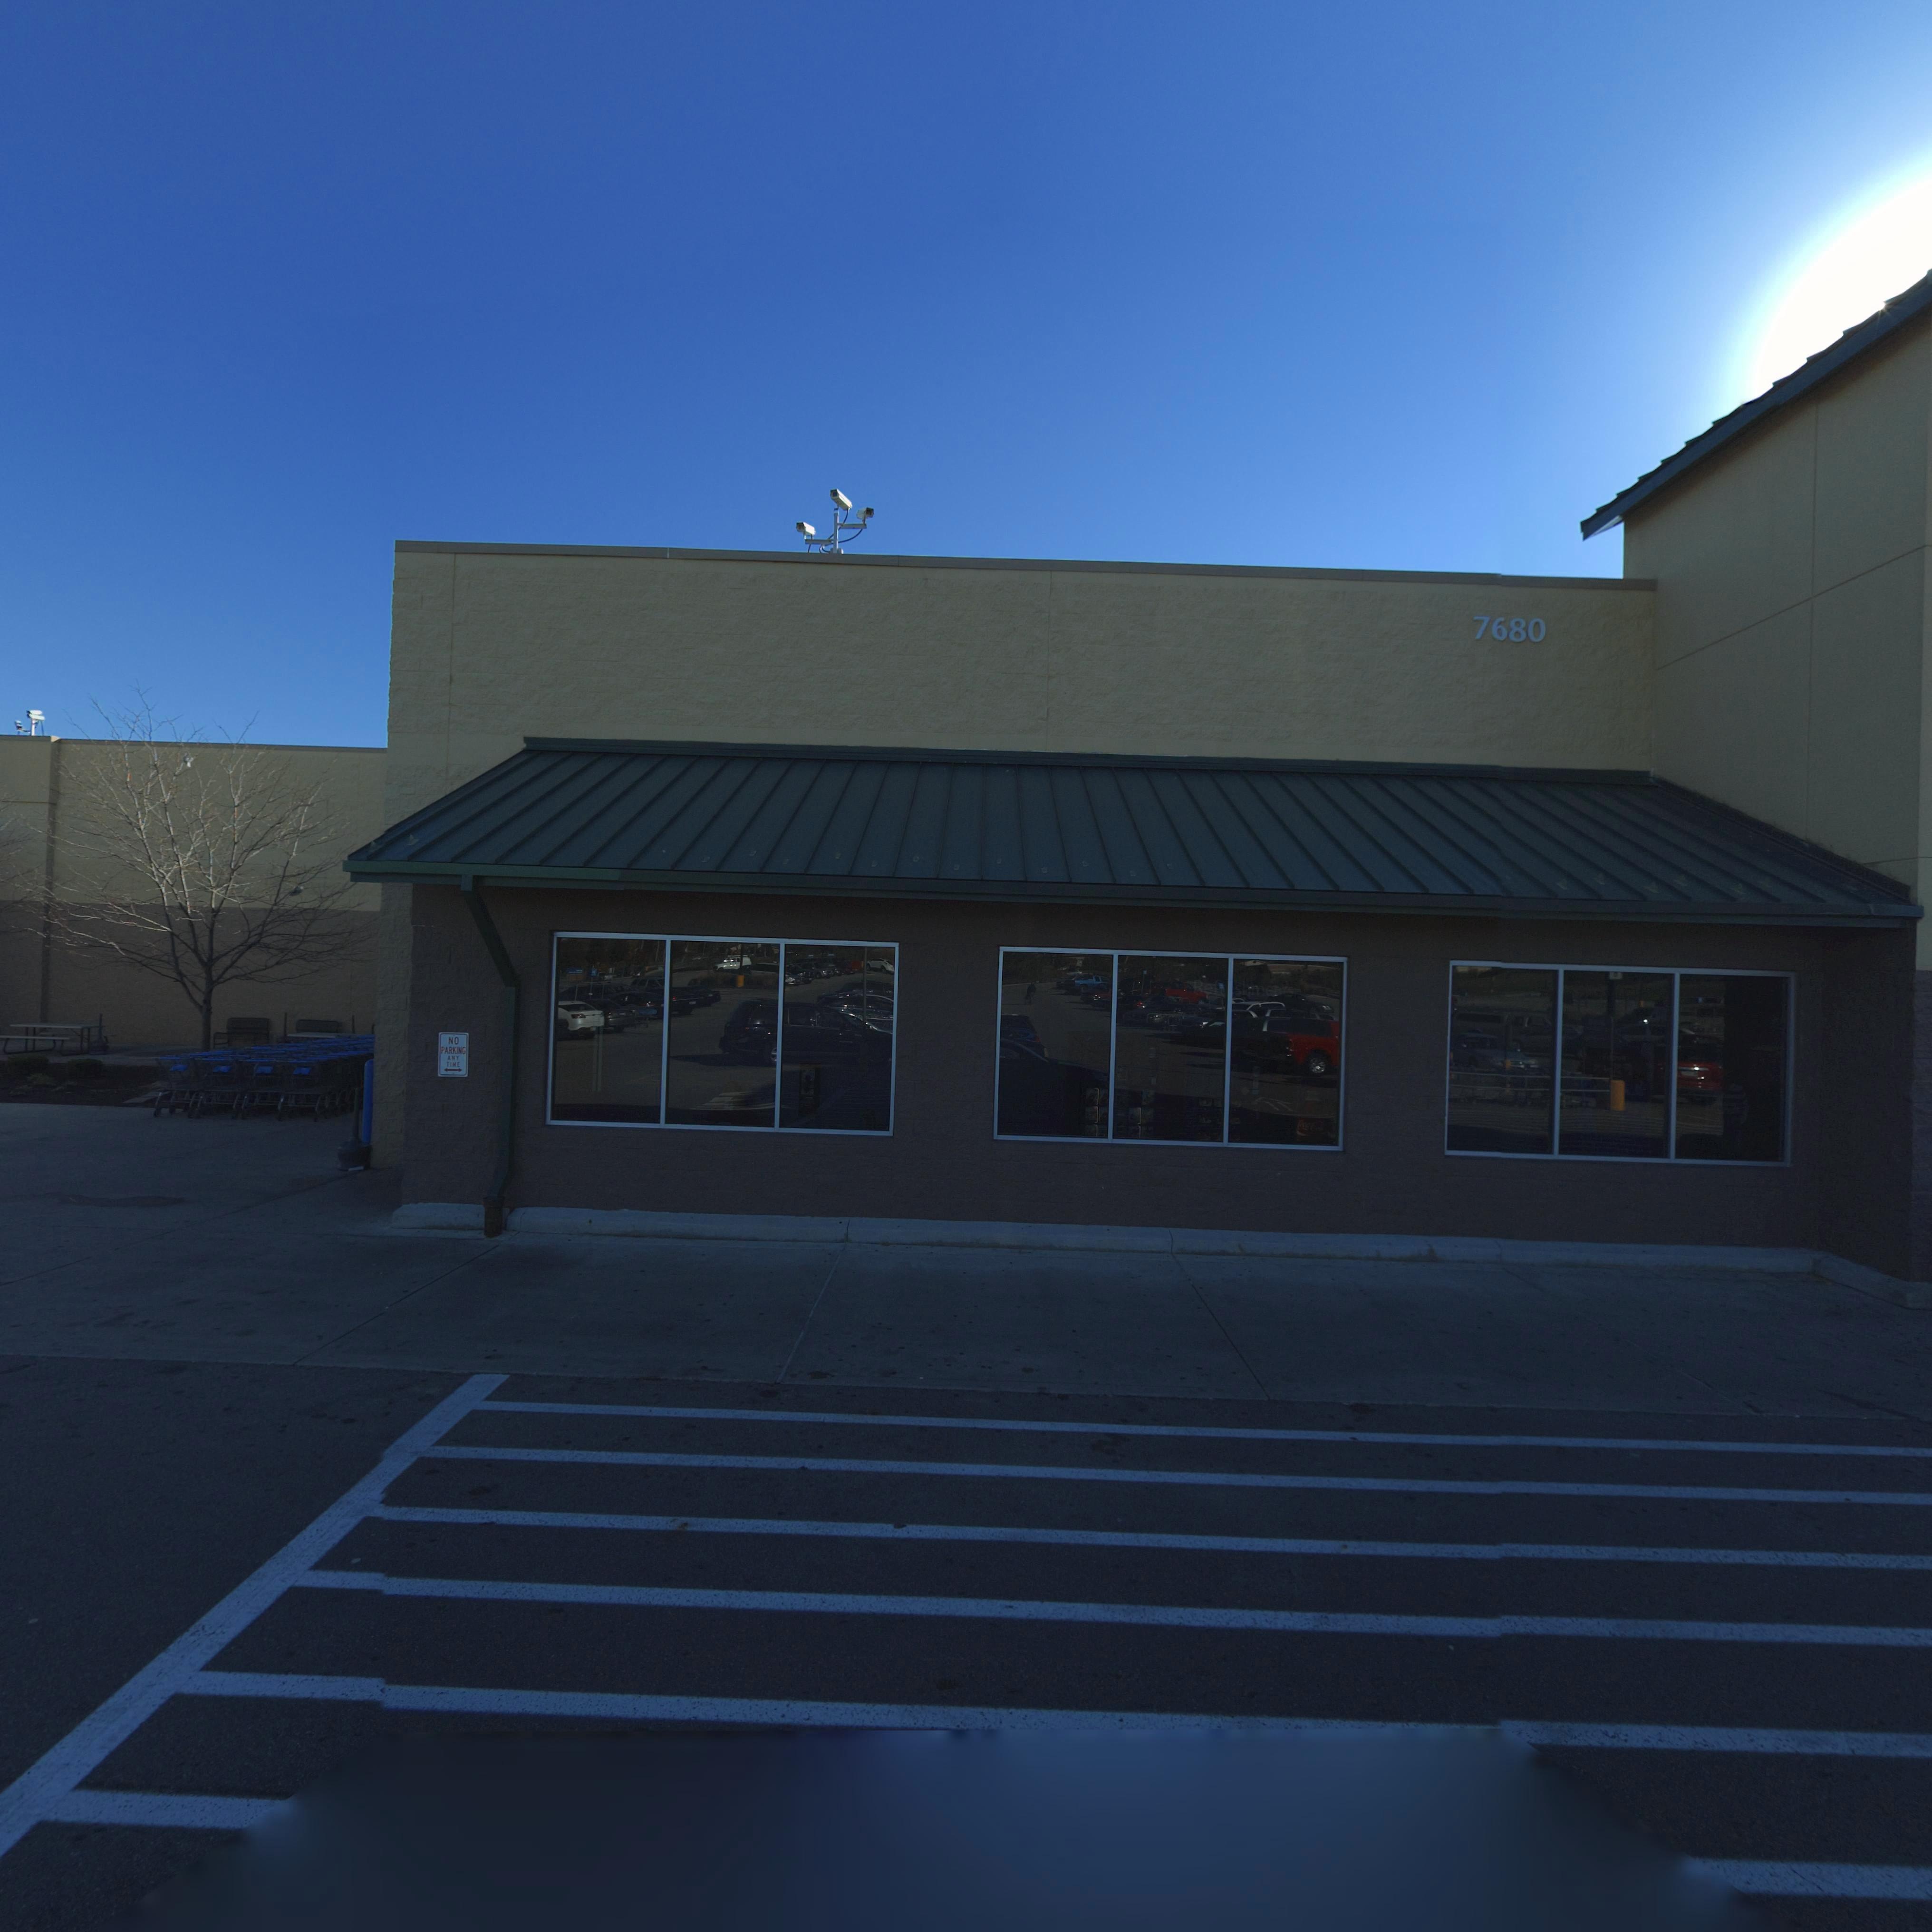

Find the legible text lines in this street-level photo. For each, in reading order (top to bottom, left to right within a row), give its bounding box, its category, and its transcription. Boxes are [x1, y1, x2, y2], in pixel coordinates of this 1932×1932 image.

[1471, 615, 1549, 645] StreetNumber: 7680